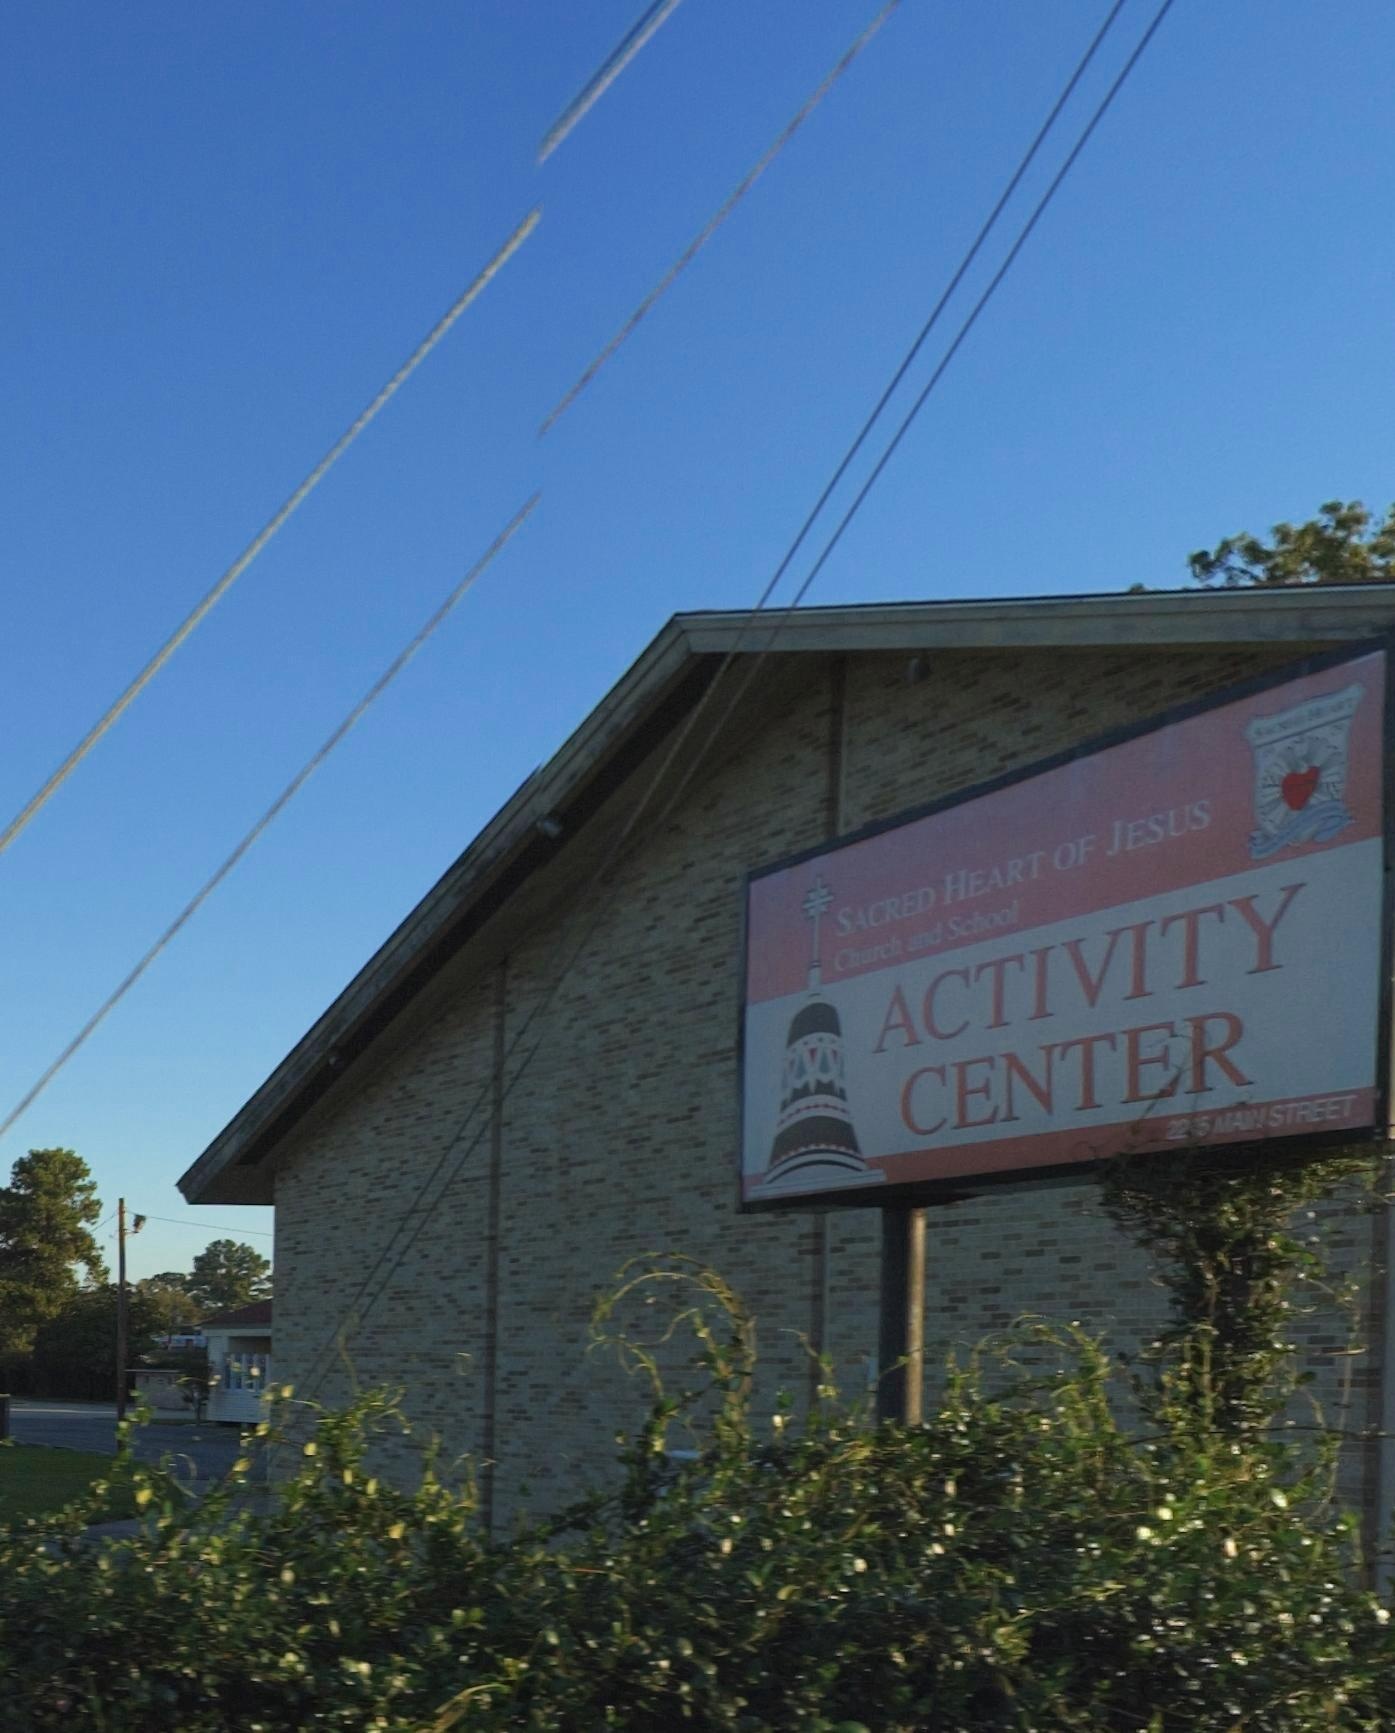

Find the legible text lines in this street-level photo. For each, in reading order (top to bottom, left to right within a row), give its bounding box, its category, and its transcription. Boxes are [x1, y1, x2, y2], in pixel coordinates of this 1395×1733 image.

[832, 789, 1217, 943] BusinessName: SACRED HEART OF JESUS
[830, 895, 1024, 977] BusinessName: Church and School
[866, 874, 1319, 1062] None: ACTIVITY
[894, 1003, 1262, 1142] None: CENTER
[1159, 1111, 1216, 1145] StreetNumber: 22**
[1208, 1090, 1363, 1140] StreetName: MAIN STREET